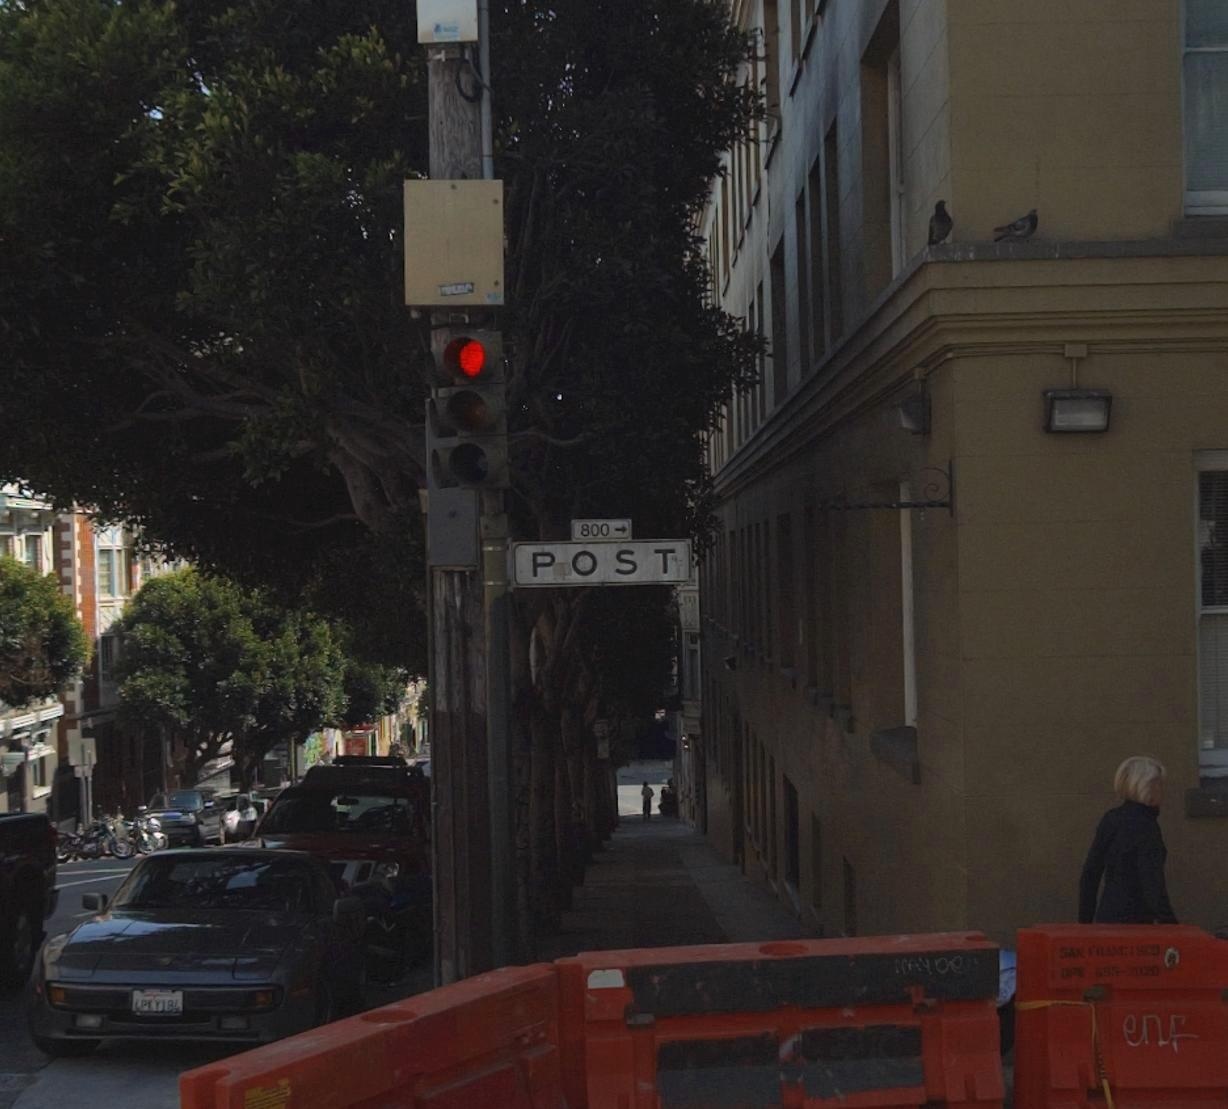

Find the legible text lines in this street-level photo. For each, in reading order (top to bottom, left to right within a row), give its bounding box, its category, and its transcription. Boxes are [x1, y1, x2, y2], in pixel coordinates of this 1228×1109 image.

[578, 520, 631, 540] StreetNumberRange: 800->
[529, 546, 679, 580] StreetName: Post > [800]
[891, 951, 969, 980] None: MAYOe
[131, 996, 183, 1013] None: 4P*Y184
[1116, 1009, 1193, 1060] None: enF